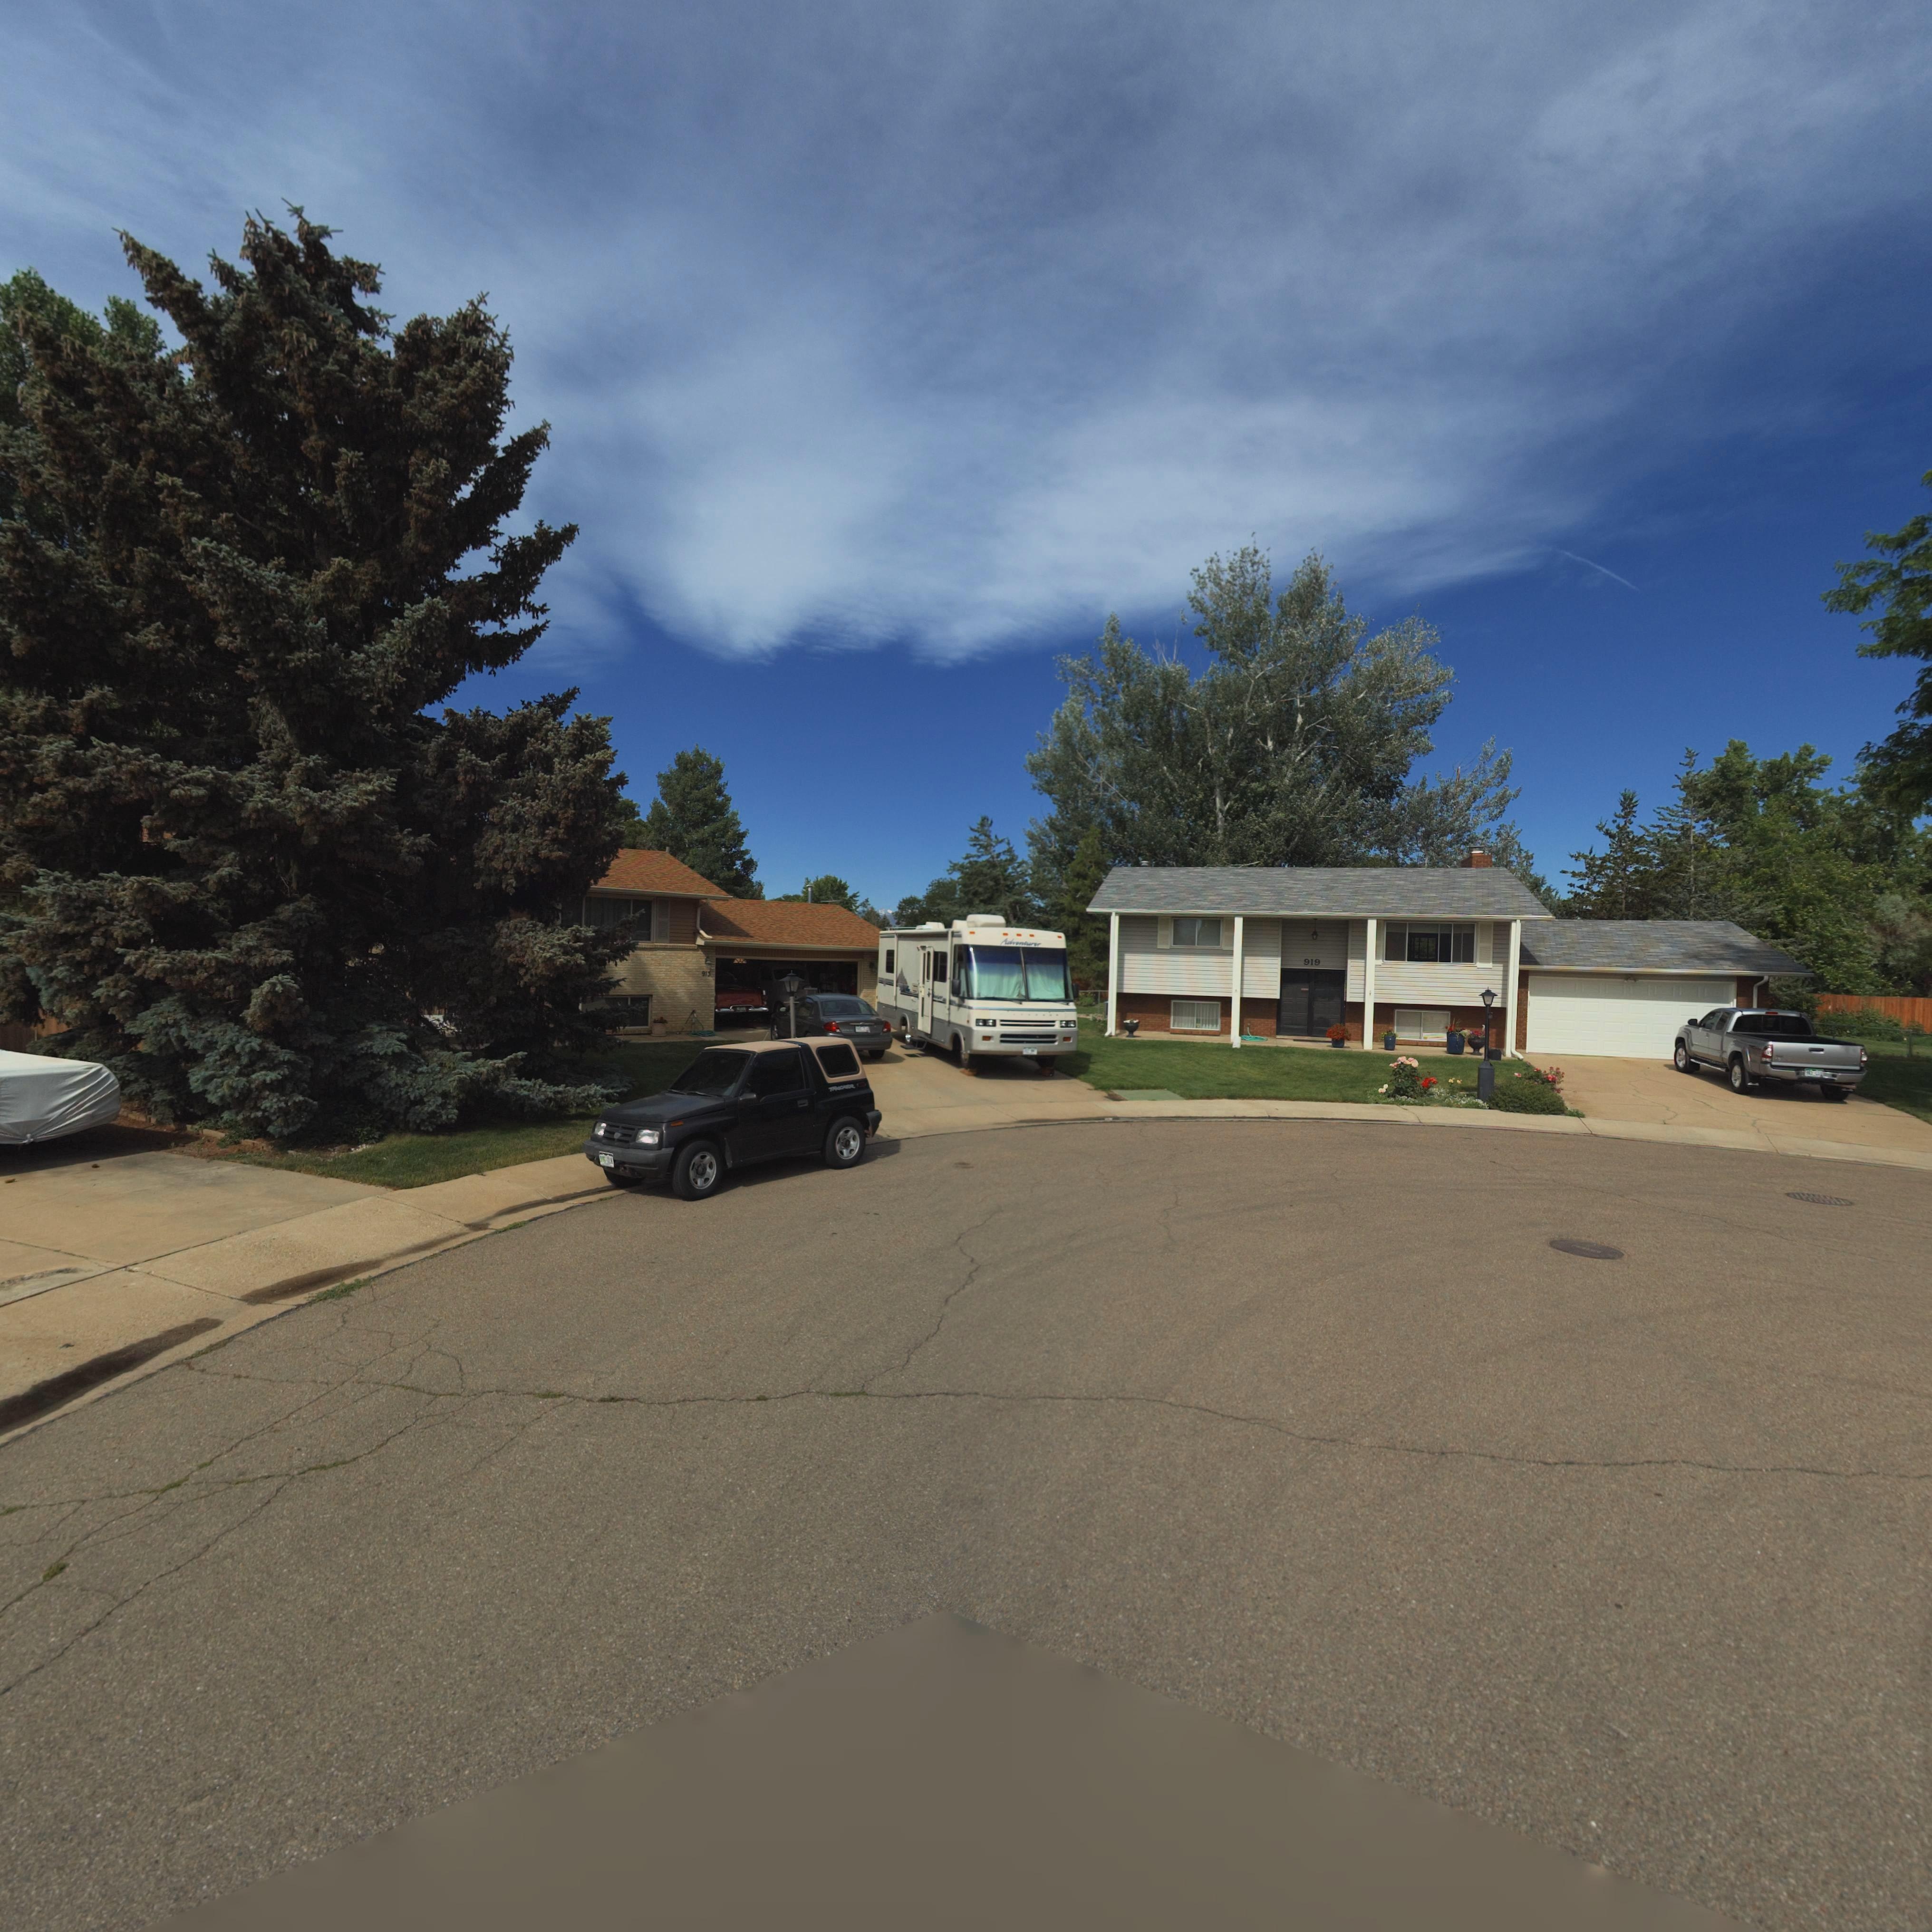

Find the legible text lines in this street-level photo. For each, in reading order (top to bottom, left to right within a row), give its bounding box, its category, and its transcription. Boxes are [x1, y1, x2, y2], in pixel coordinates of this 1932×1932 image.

[1303, 958, 1321, 965] StreetNumber: 919
[701, 970, 711, 976] StreetNumber: 913